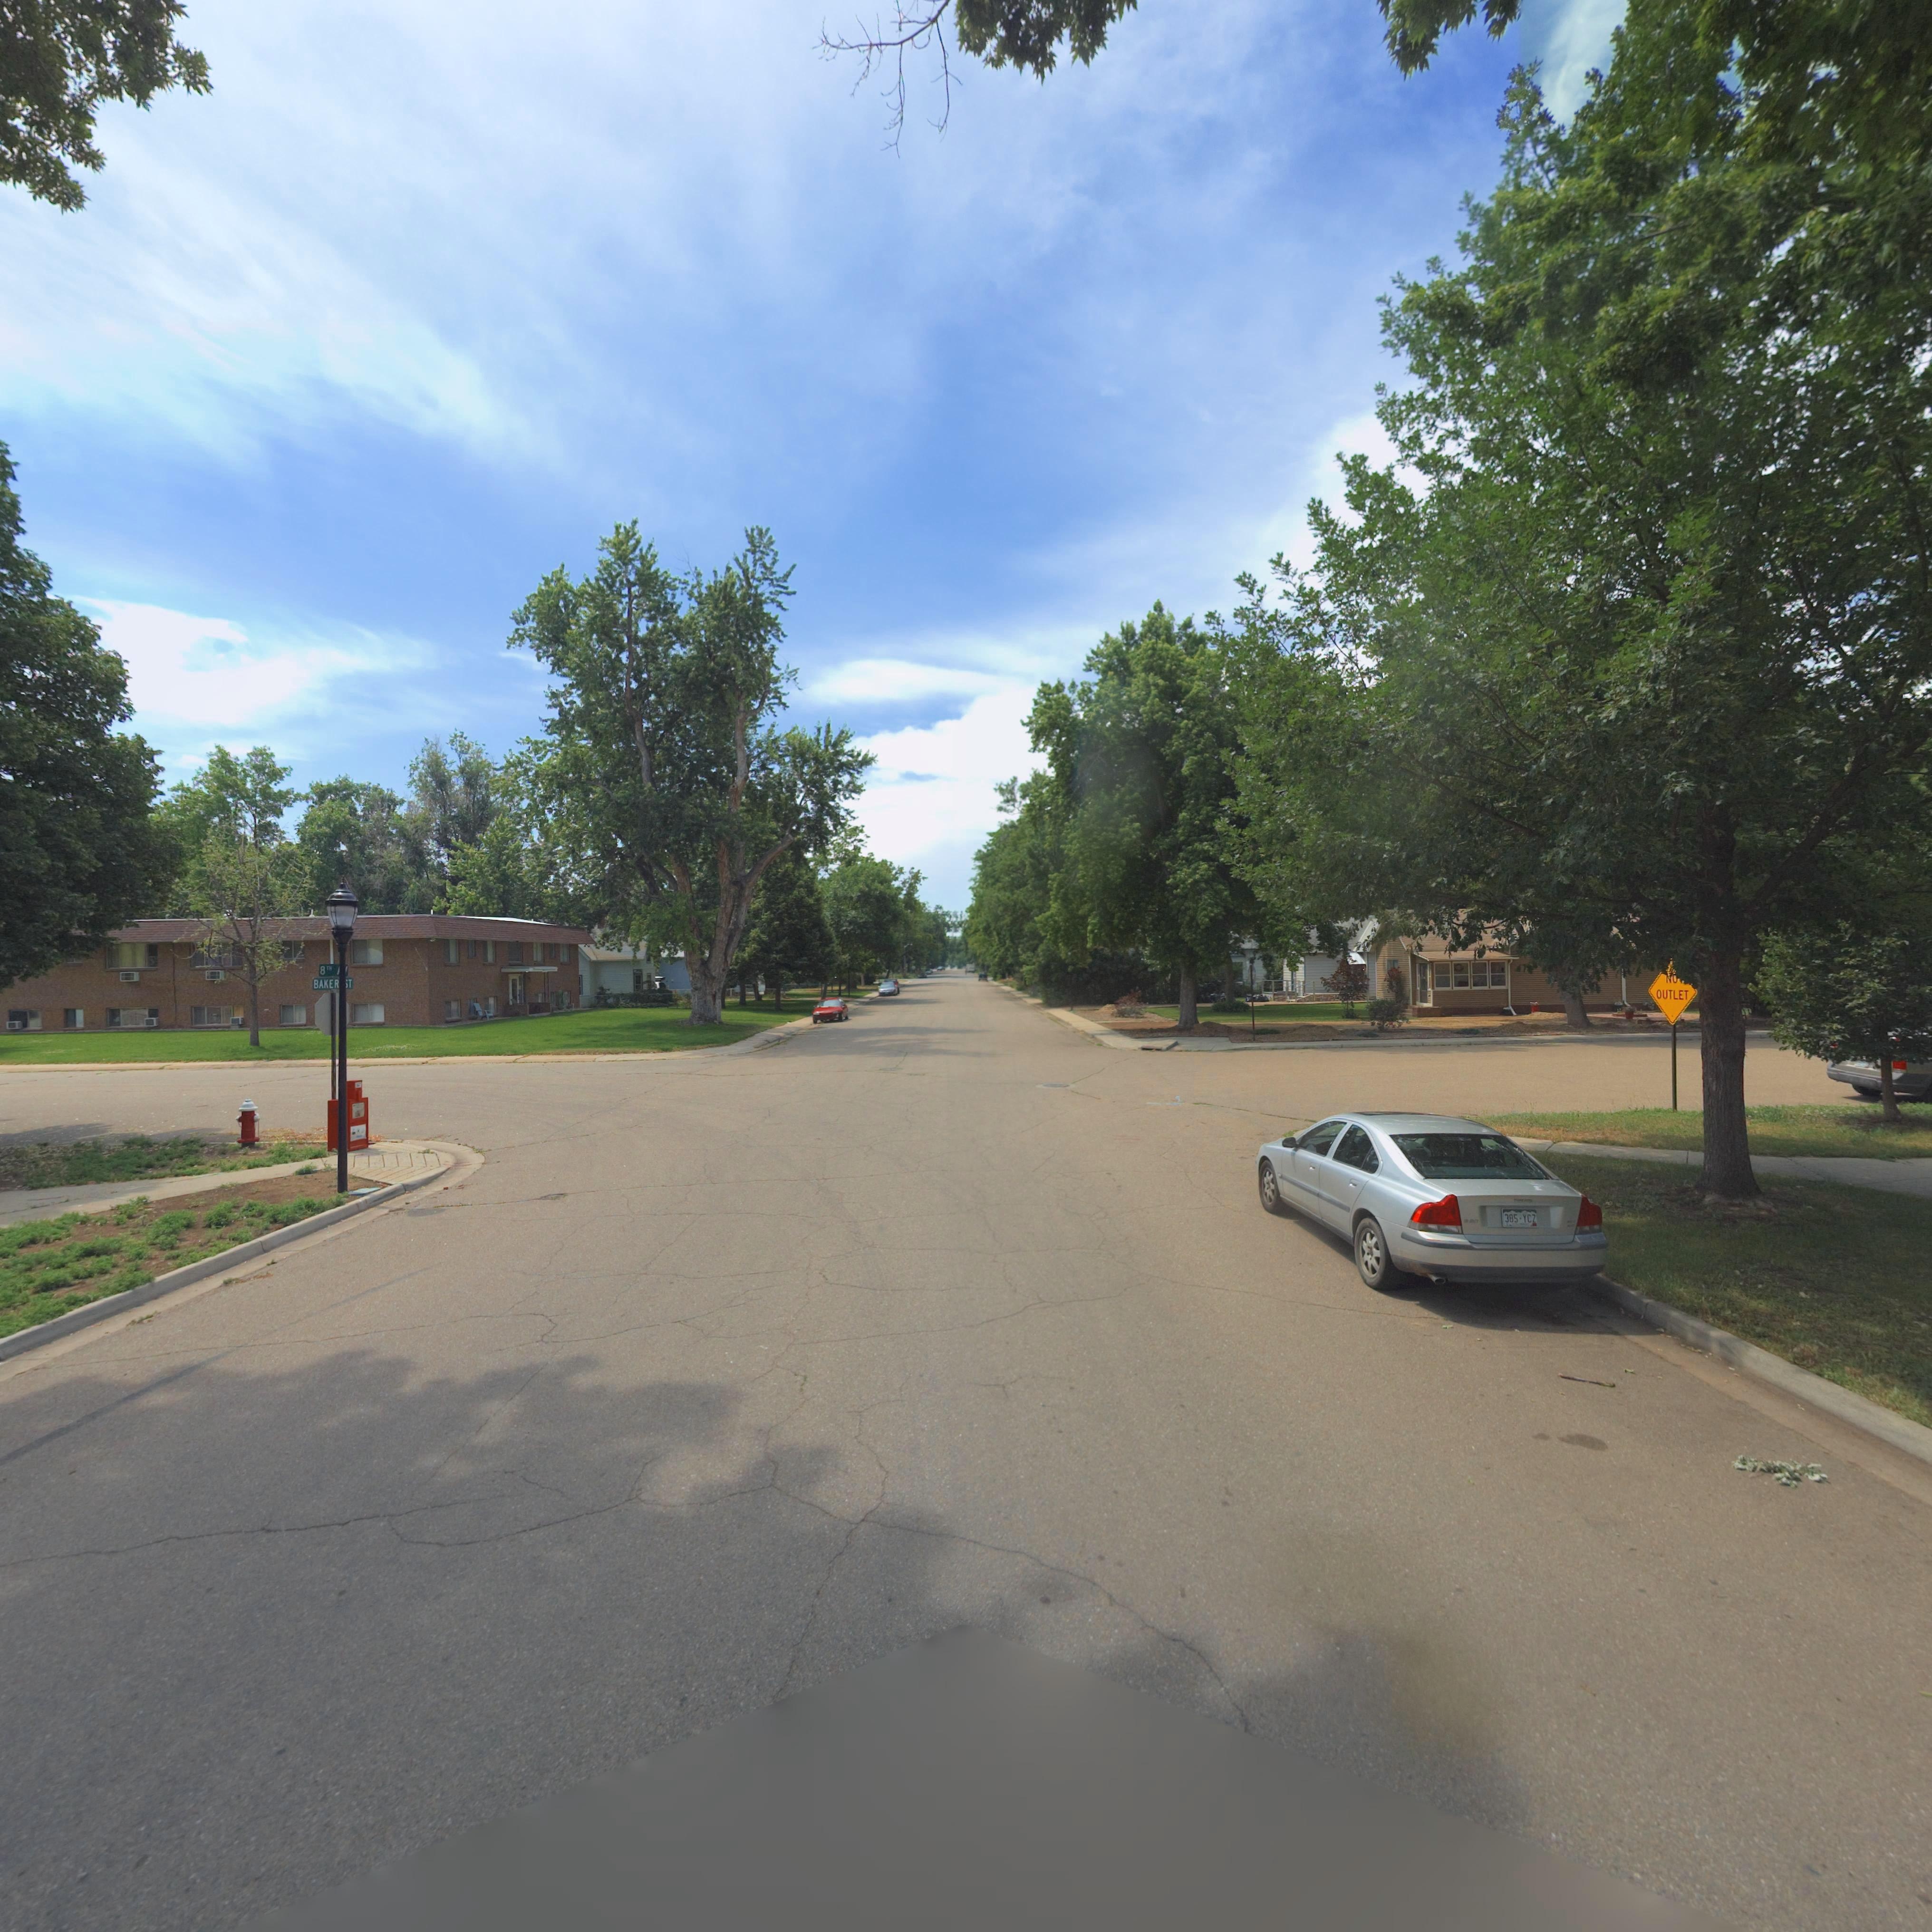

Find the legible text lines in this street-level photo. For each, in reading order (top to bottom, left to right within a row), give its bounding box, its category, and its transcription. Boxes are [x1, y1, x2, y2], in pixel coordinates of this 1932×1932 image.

[319, 965, 332, 976] StreetName: 8TH 
[313, 979, 352, 989] StreetName: BAKER *T